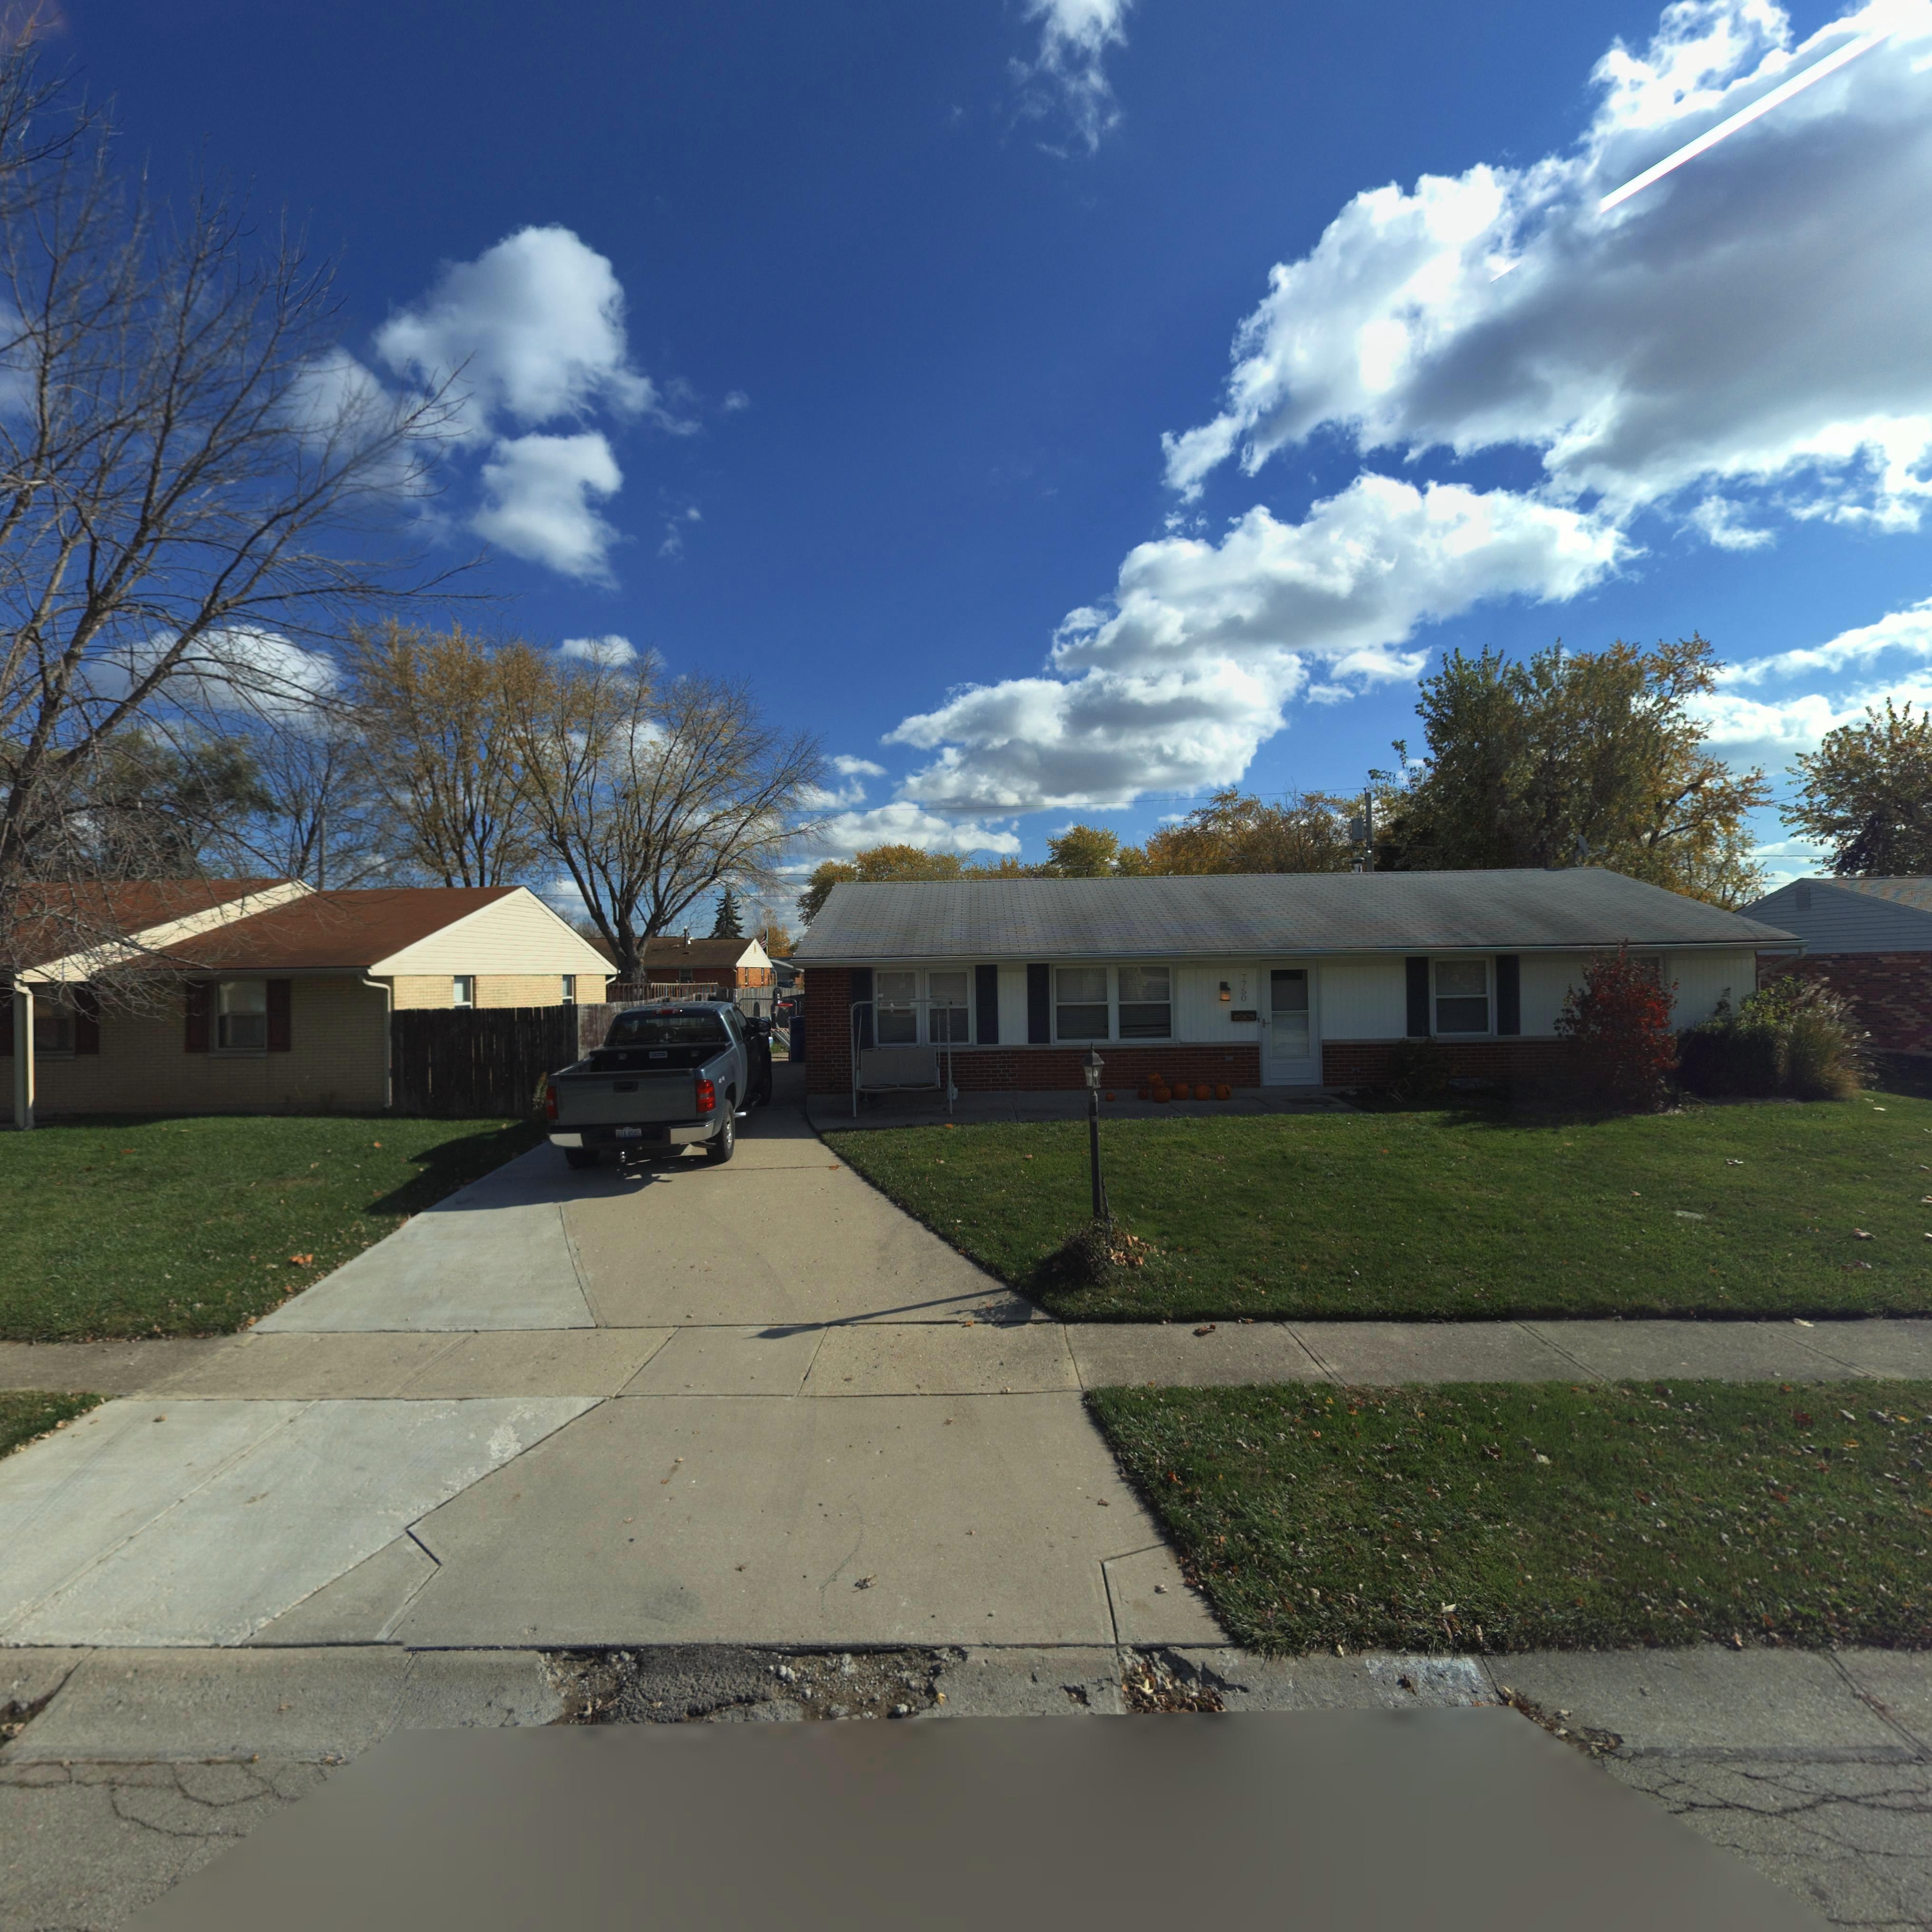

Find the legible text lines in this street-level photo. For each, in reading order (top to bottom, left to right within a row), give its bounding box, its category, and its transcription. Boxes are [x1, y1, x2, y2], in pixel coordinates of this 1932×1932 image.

[1241, 973, 1247, 1003] StreetNumber: 7750